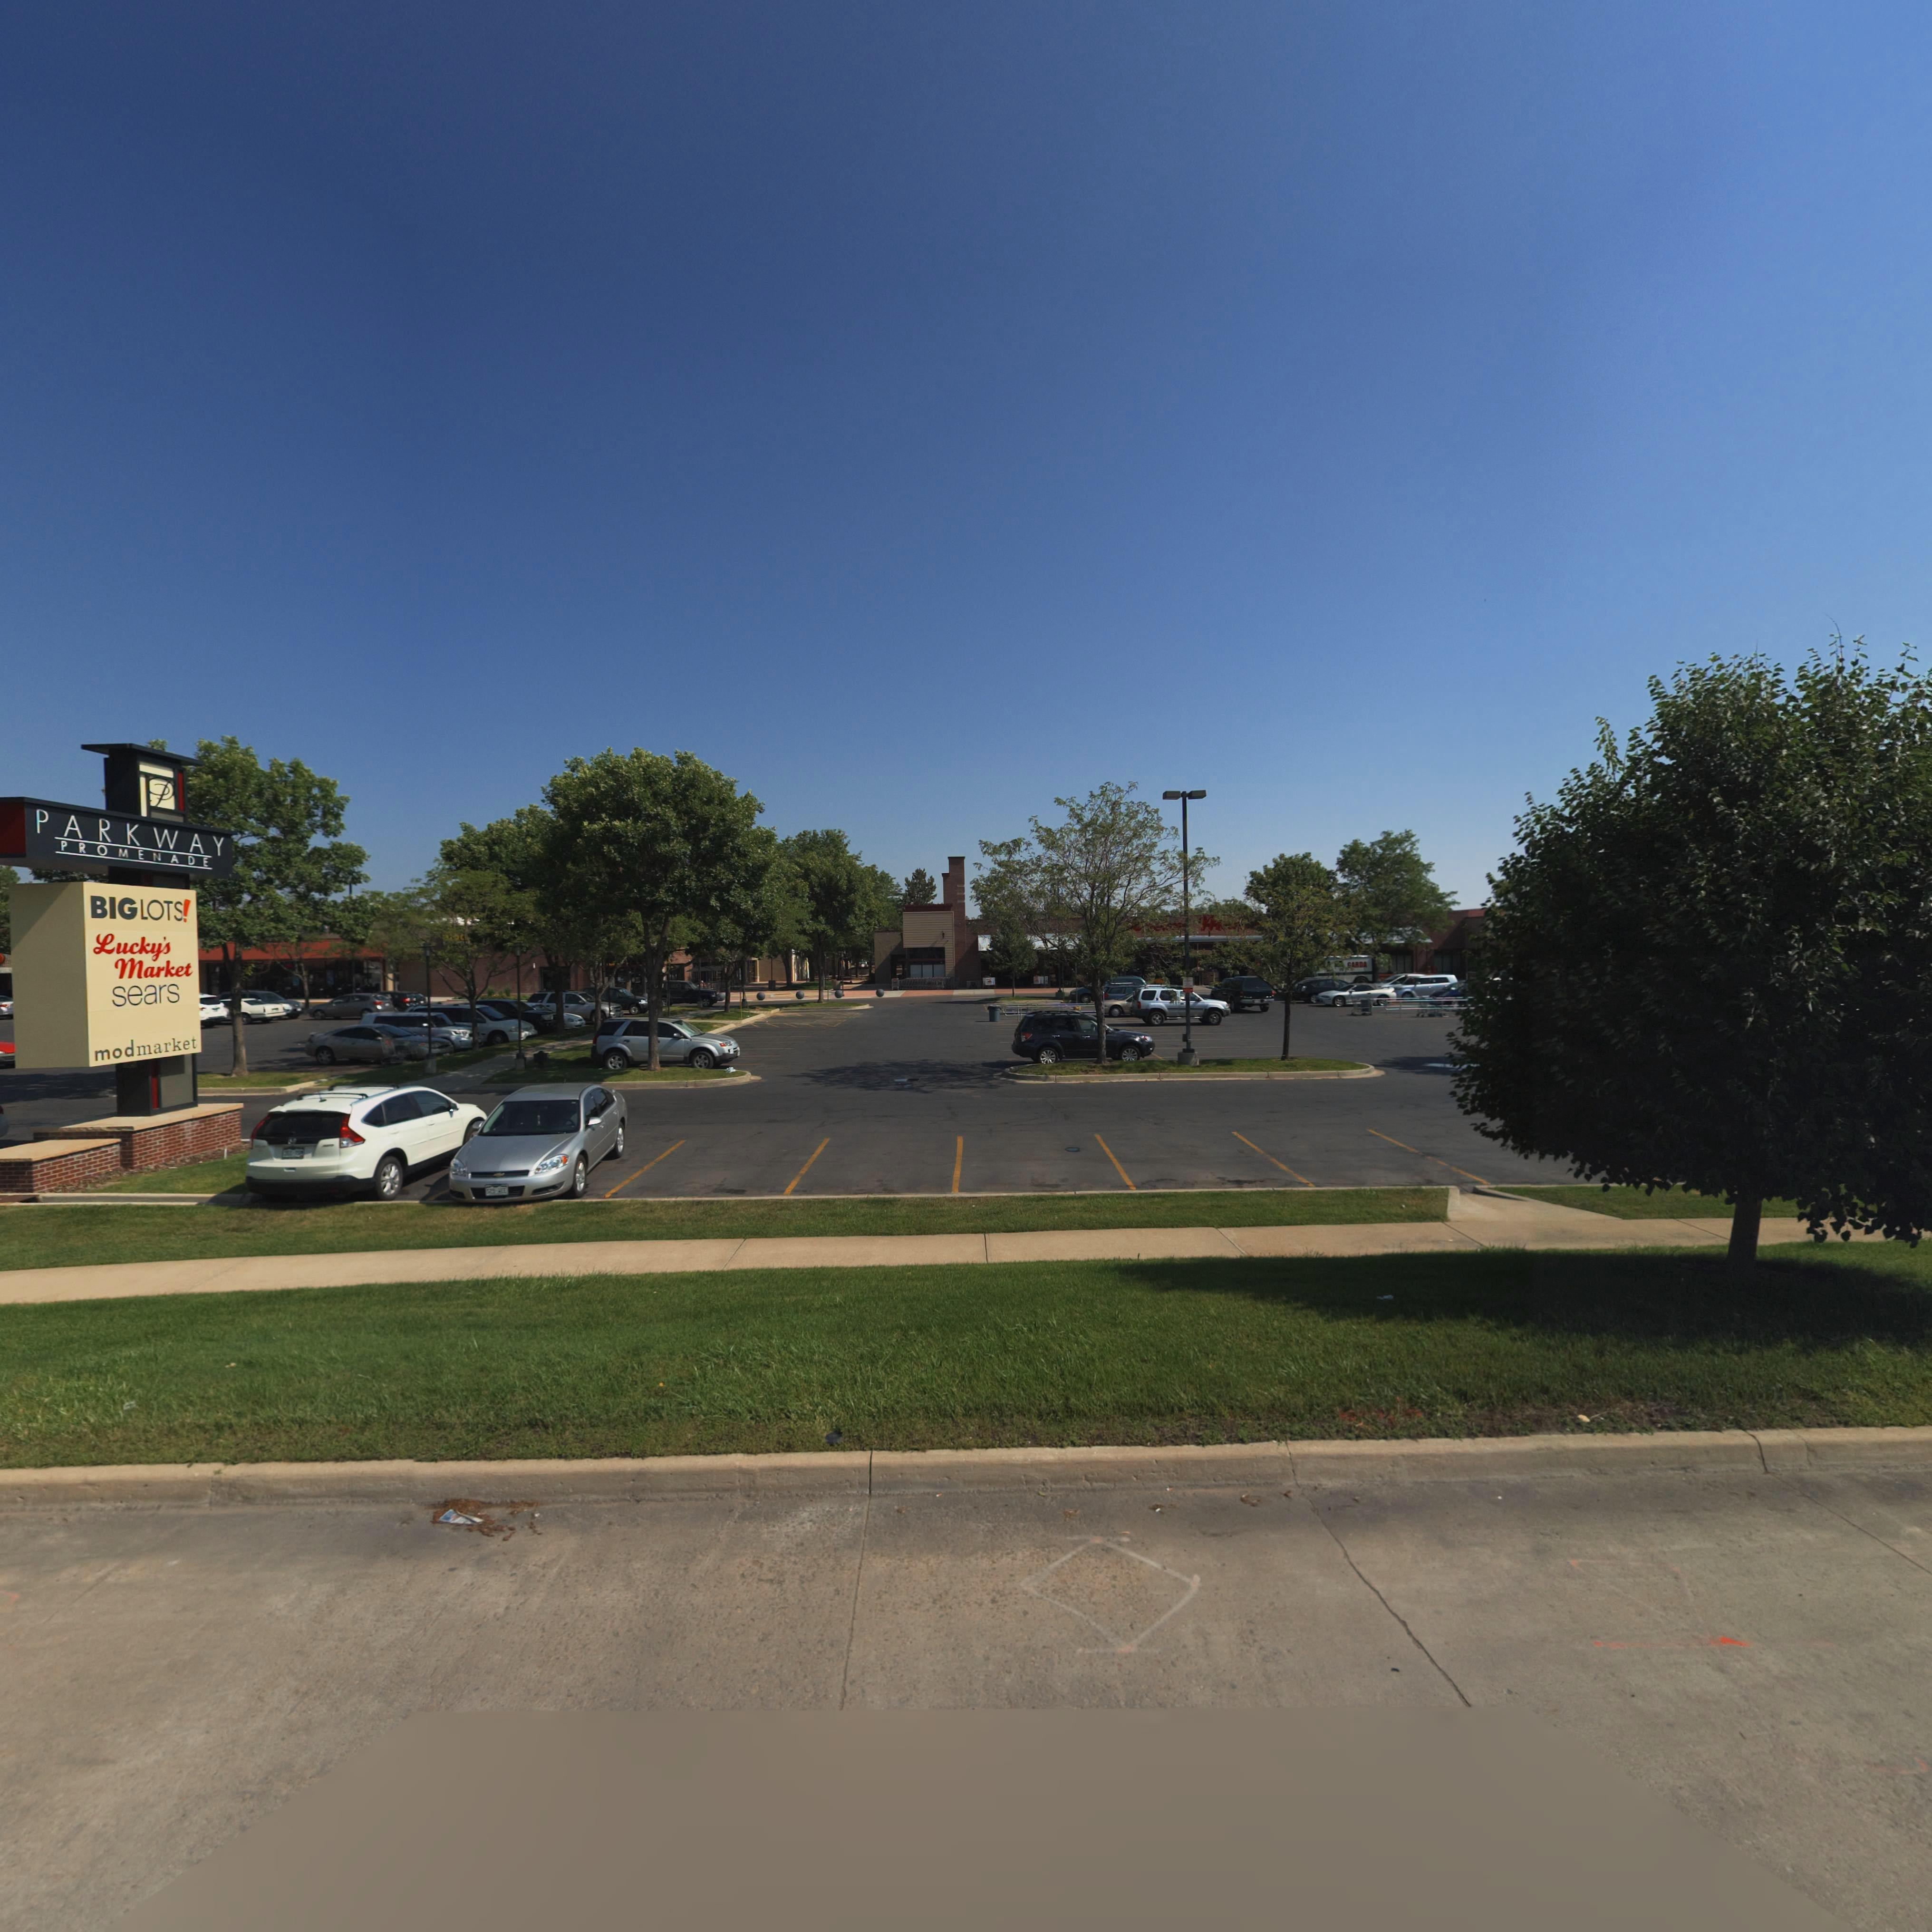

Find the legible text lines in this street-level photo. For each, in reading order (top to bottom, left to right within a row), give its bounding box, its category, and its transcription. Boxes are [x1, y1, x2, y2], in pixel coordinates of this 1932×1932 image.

[90, 895, 192, 923] BusinessName: BIG LOTS!
[92, 932, 171, 962] BusinessName: Lucky's
[114, 957, 193, 979] BusinessName: Market
[111, 983, 180, 1007] BusinessName: sears
[94, 1035, 197, 1062] BusinessName: modmarket